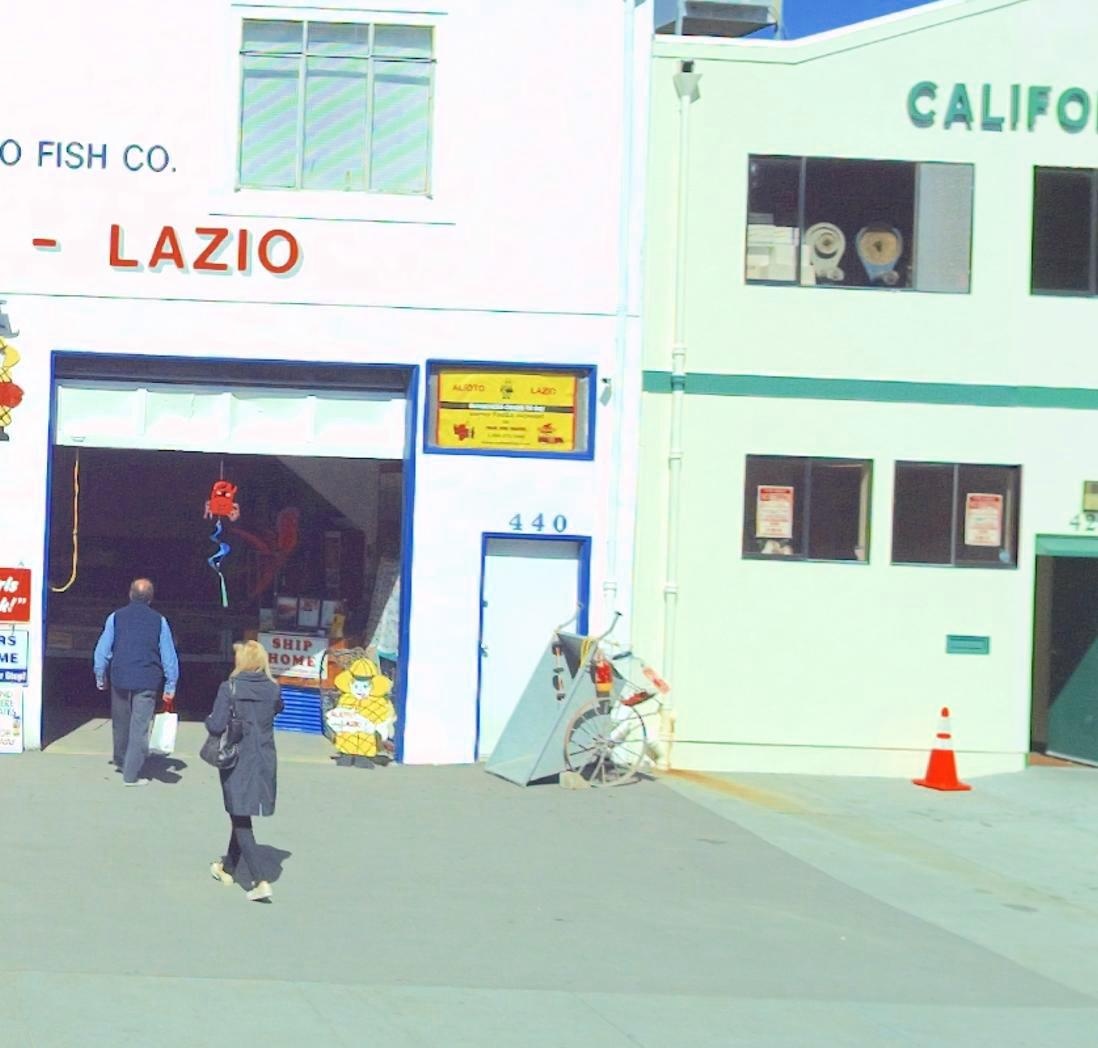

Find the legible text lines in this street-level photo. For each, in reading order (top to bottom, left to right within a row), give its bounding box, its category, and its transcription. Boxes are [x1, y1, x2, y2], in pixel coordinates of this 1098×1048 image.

[905, 78, 1093, 134] BusinessName: CALIFO
[0, 136, 178, 174] BusinessName: O FISH CO.
[106, 220, 302, 276] BusinessName: LAZIO
[450, 382, 486, 393] None: AL*OTO
[529, 385, 558, 397] None: LAZ*O
[506, 511, 568, 534] StreetNumber: 440
[1066, 511, 1097, 533] StreetNumber: 42
[3, 573, 21, 595] None: ls
[6, 634, 17, 647] None: S
[271, 636, 314, 653] None: SHIP
[10, 651, 20, 665] None: E
[267, 650, 316, 668] None: HOME